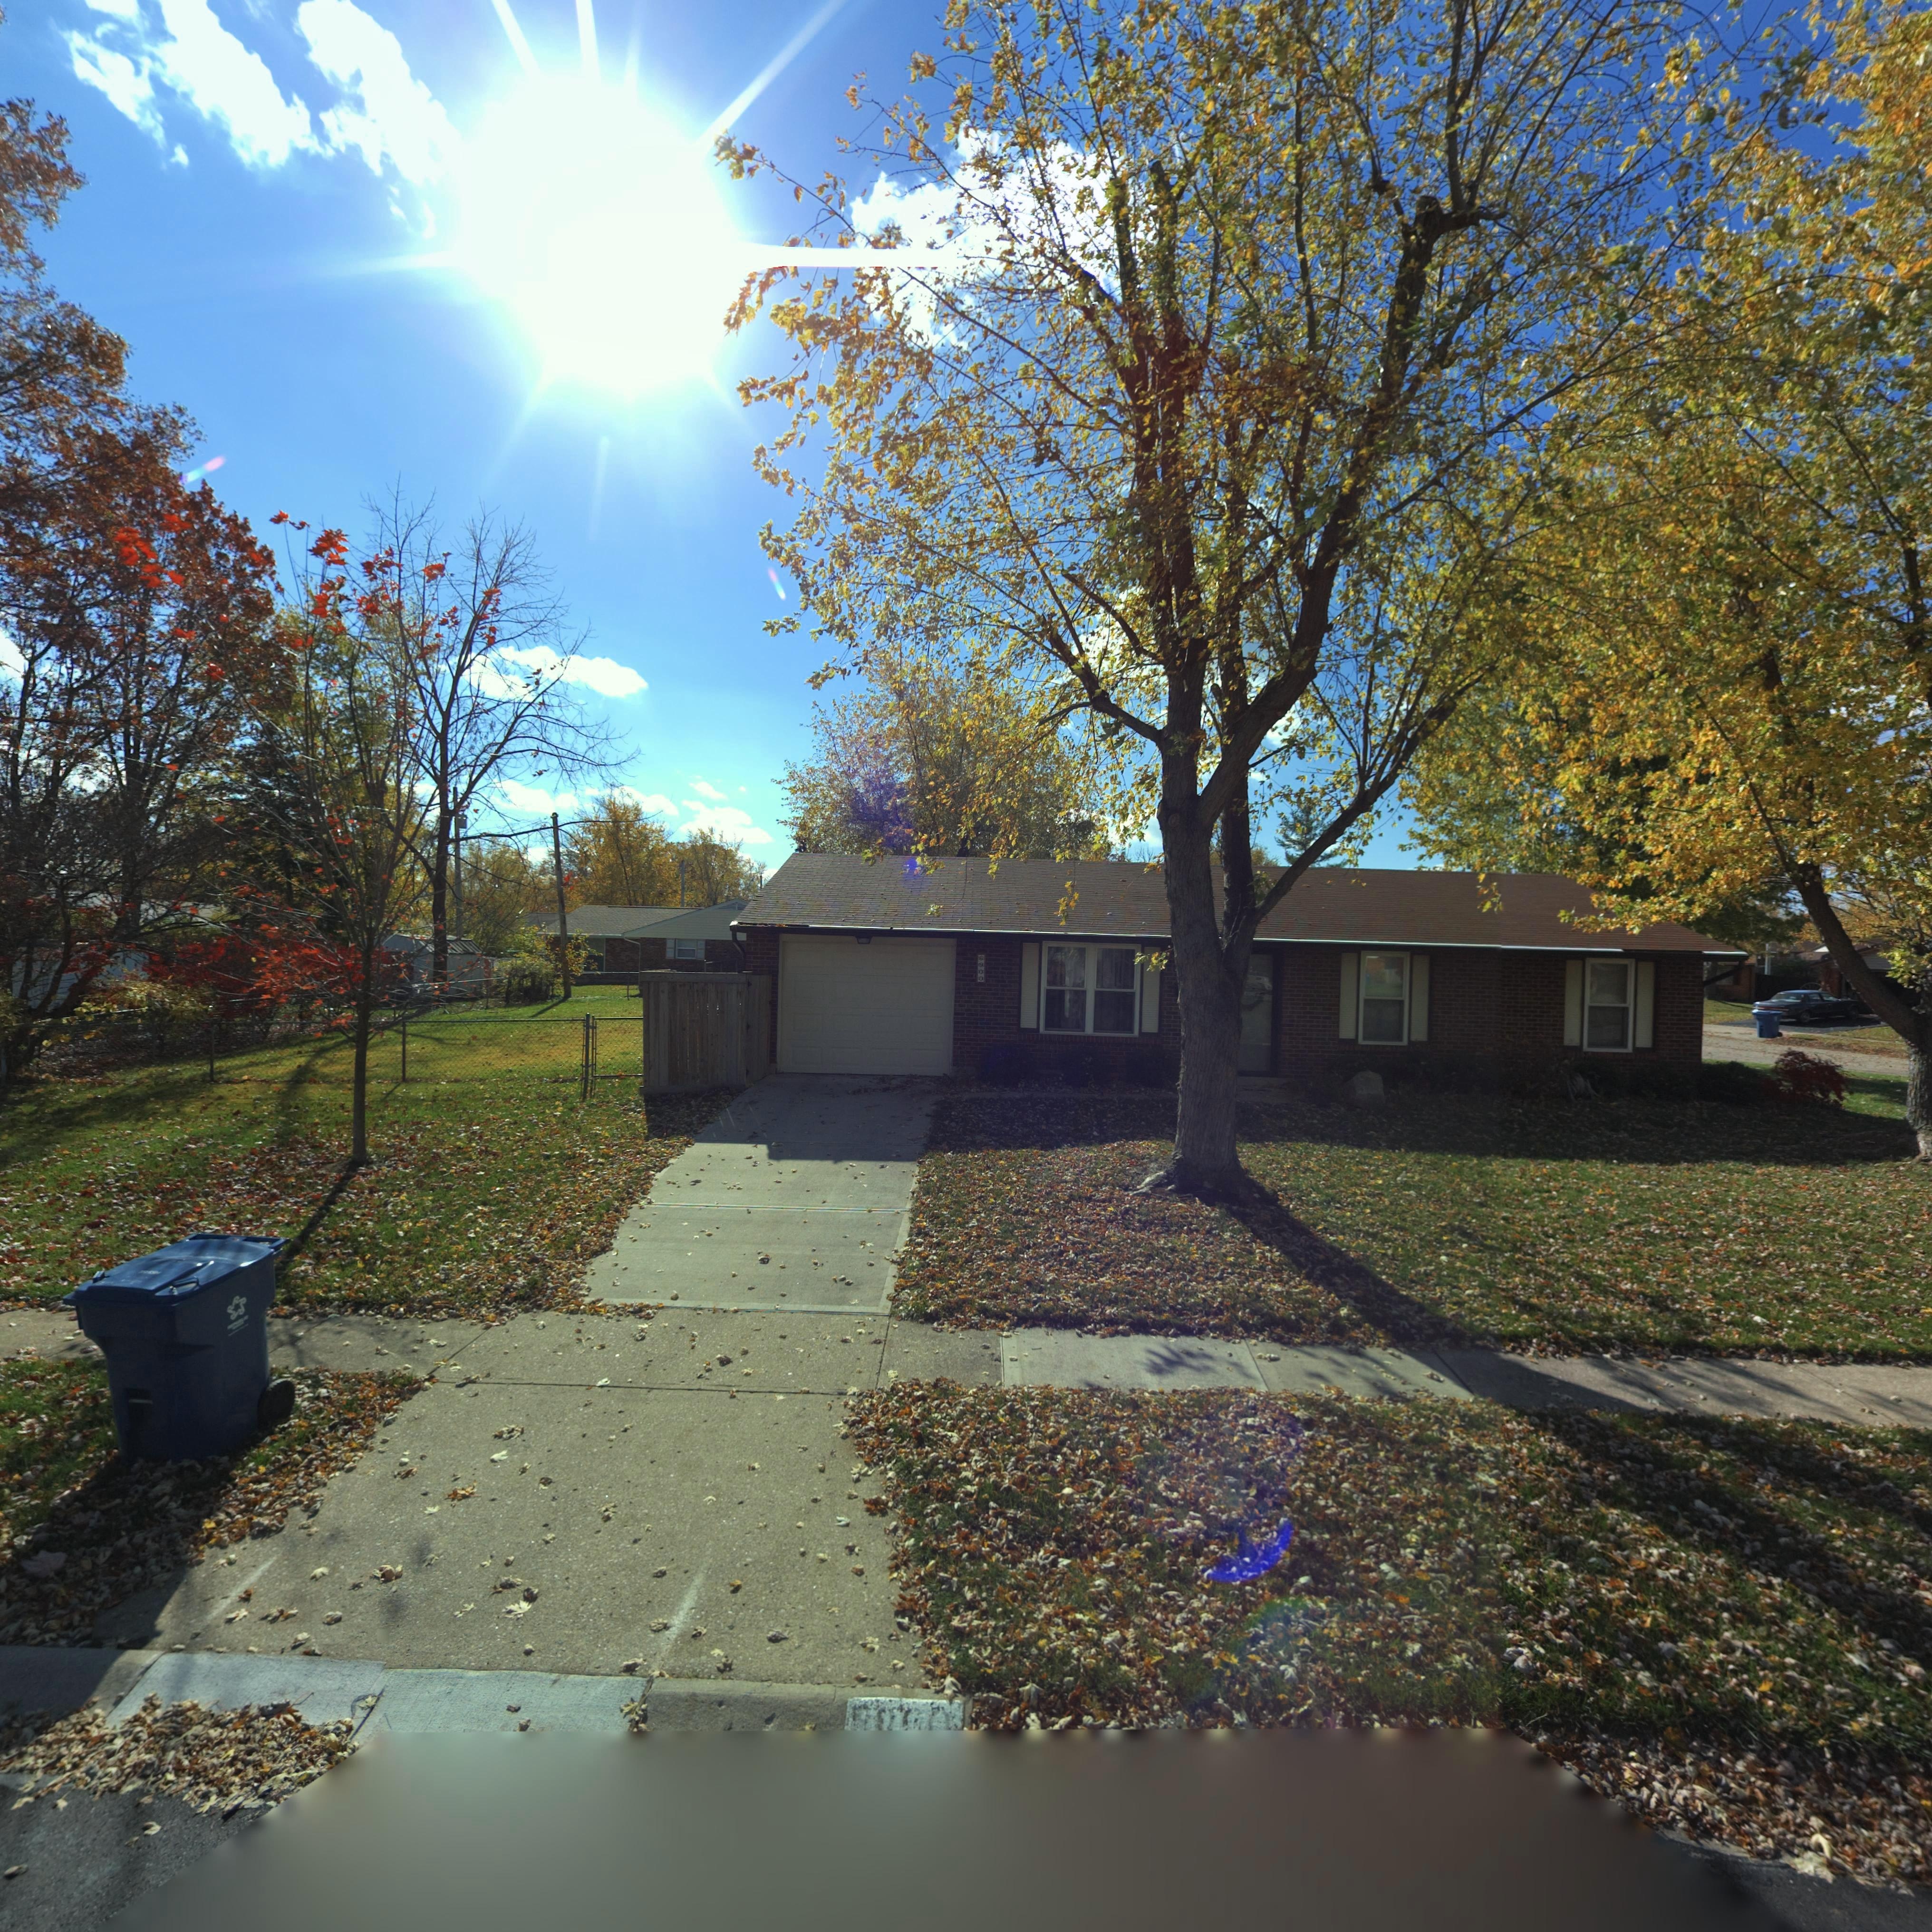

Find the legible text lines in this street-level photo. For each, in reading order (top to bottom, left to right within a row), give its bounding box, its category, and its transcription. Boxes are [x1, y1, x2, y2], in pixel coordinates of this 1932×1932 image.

[978, 955, 985, 983] StreetNumber: 6900